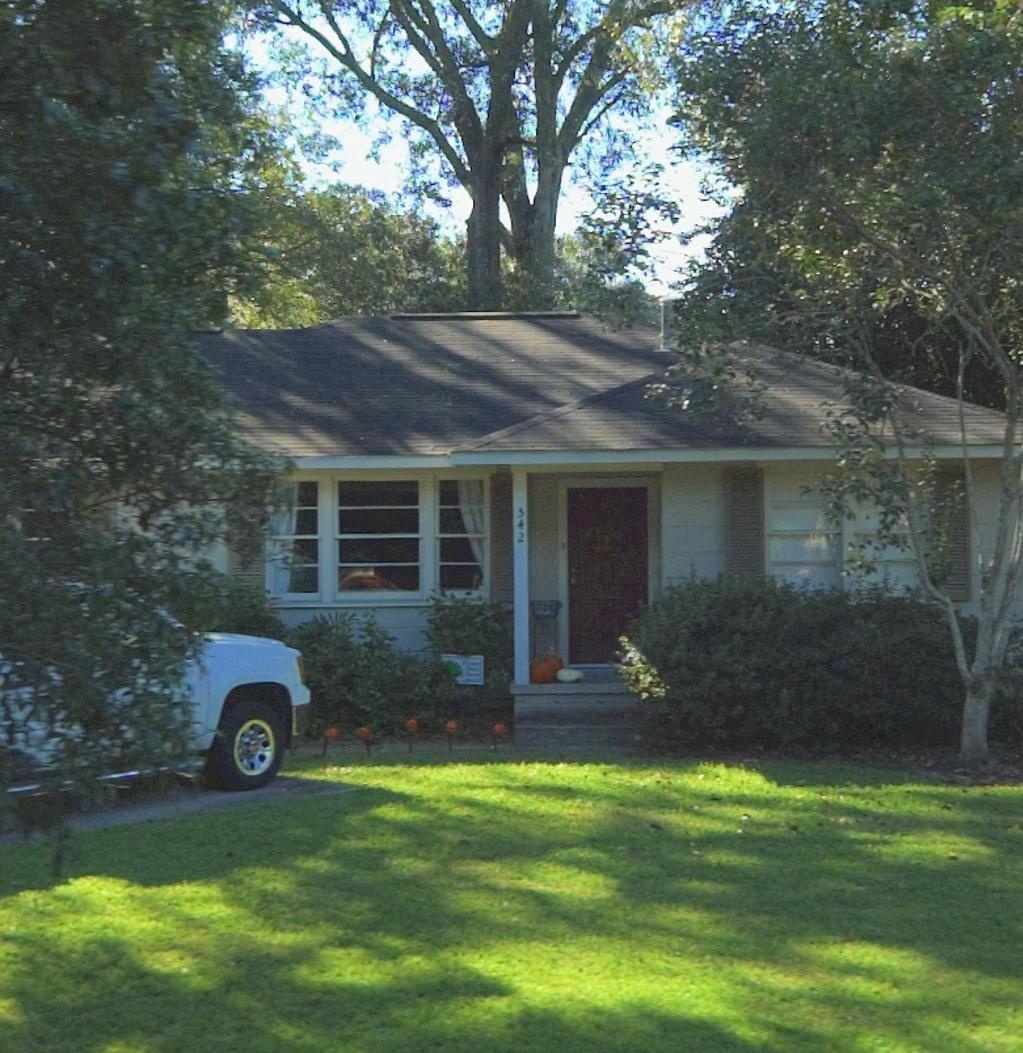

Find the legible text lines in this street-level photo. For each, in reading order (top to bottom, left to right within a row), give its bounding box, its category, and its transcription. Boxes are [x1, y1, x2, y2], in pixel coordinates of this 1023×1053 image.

[516, 506, 526, 545] StreetNumber: 542